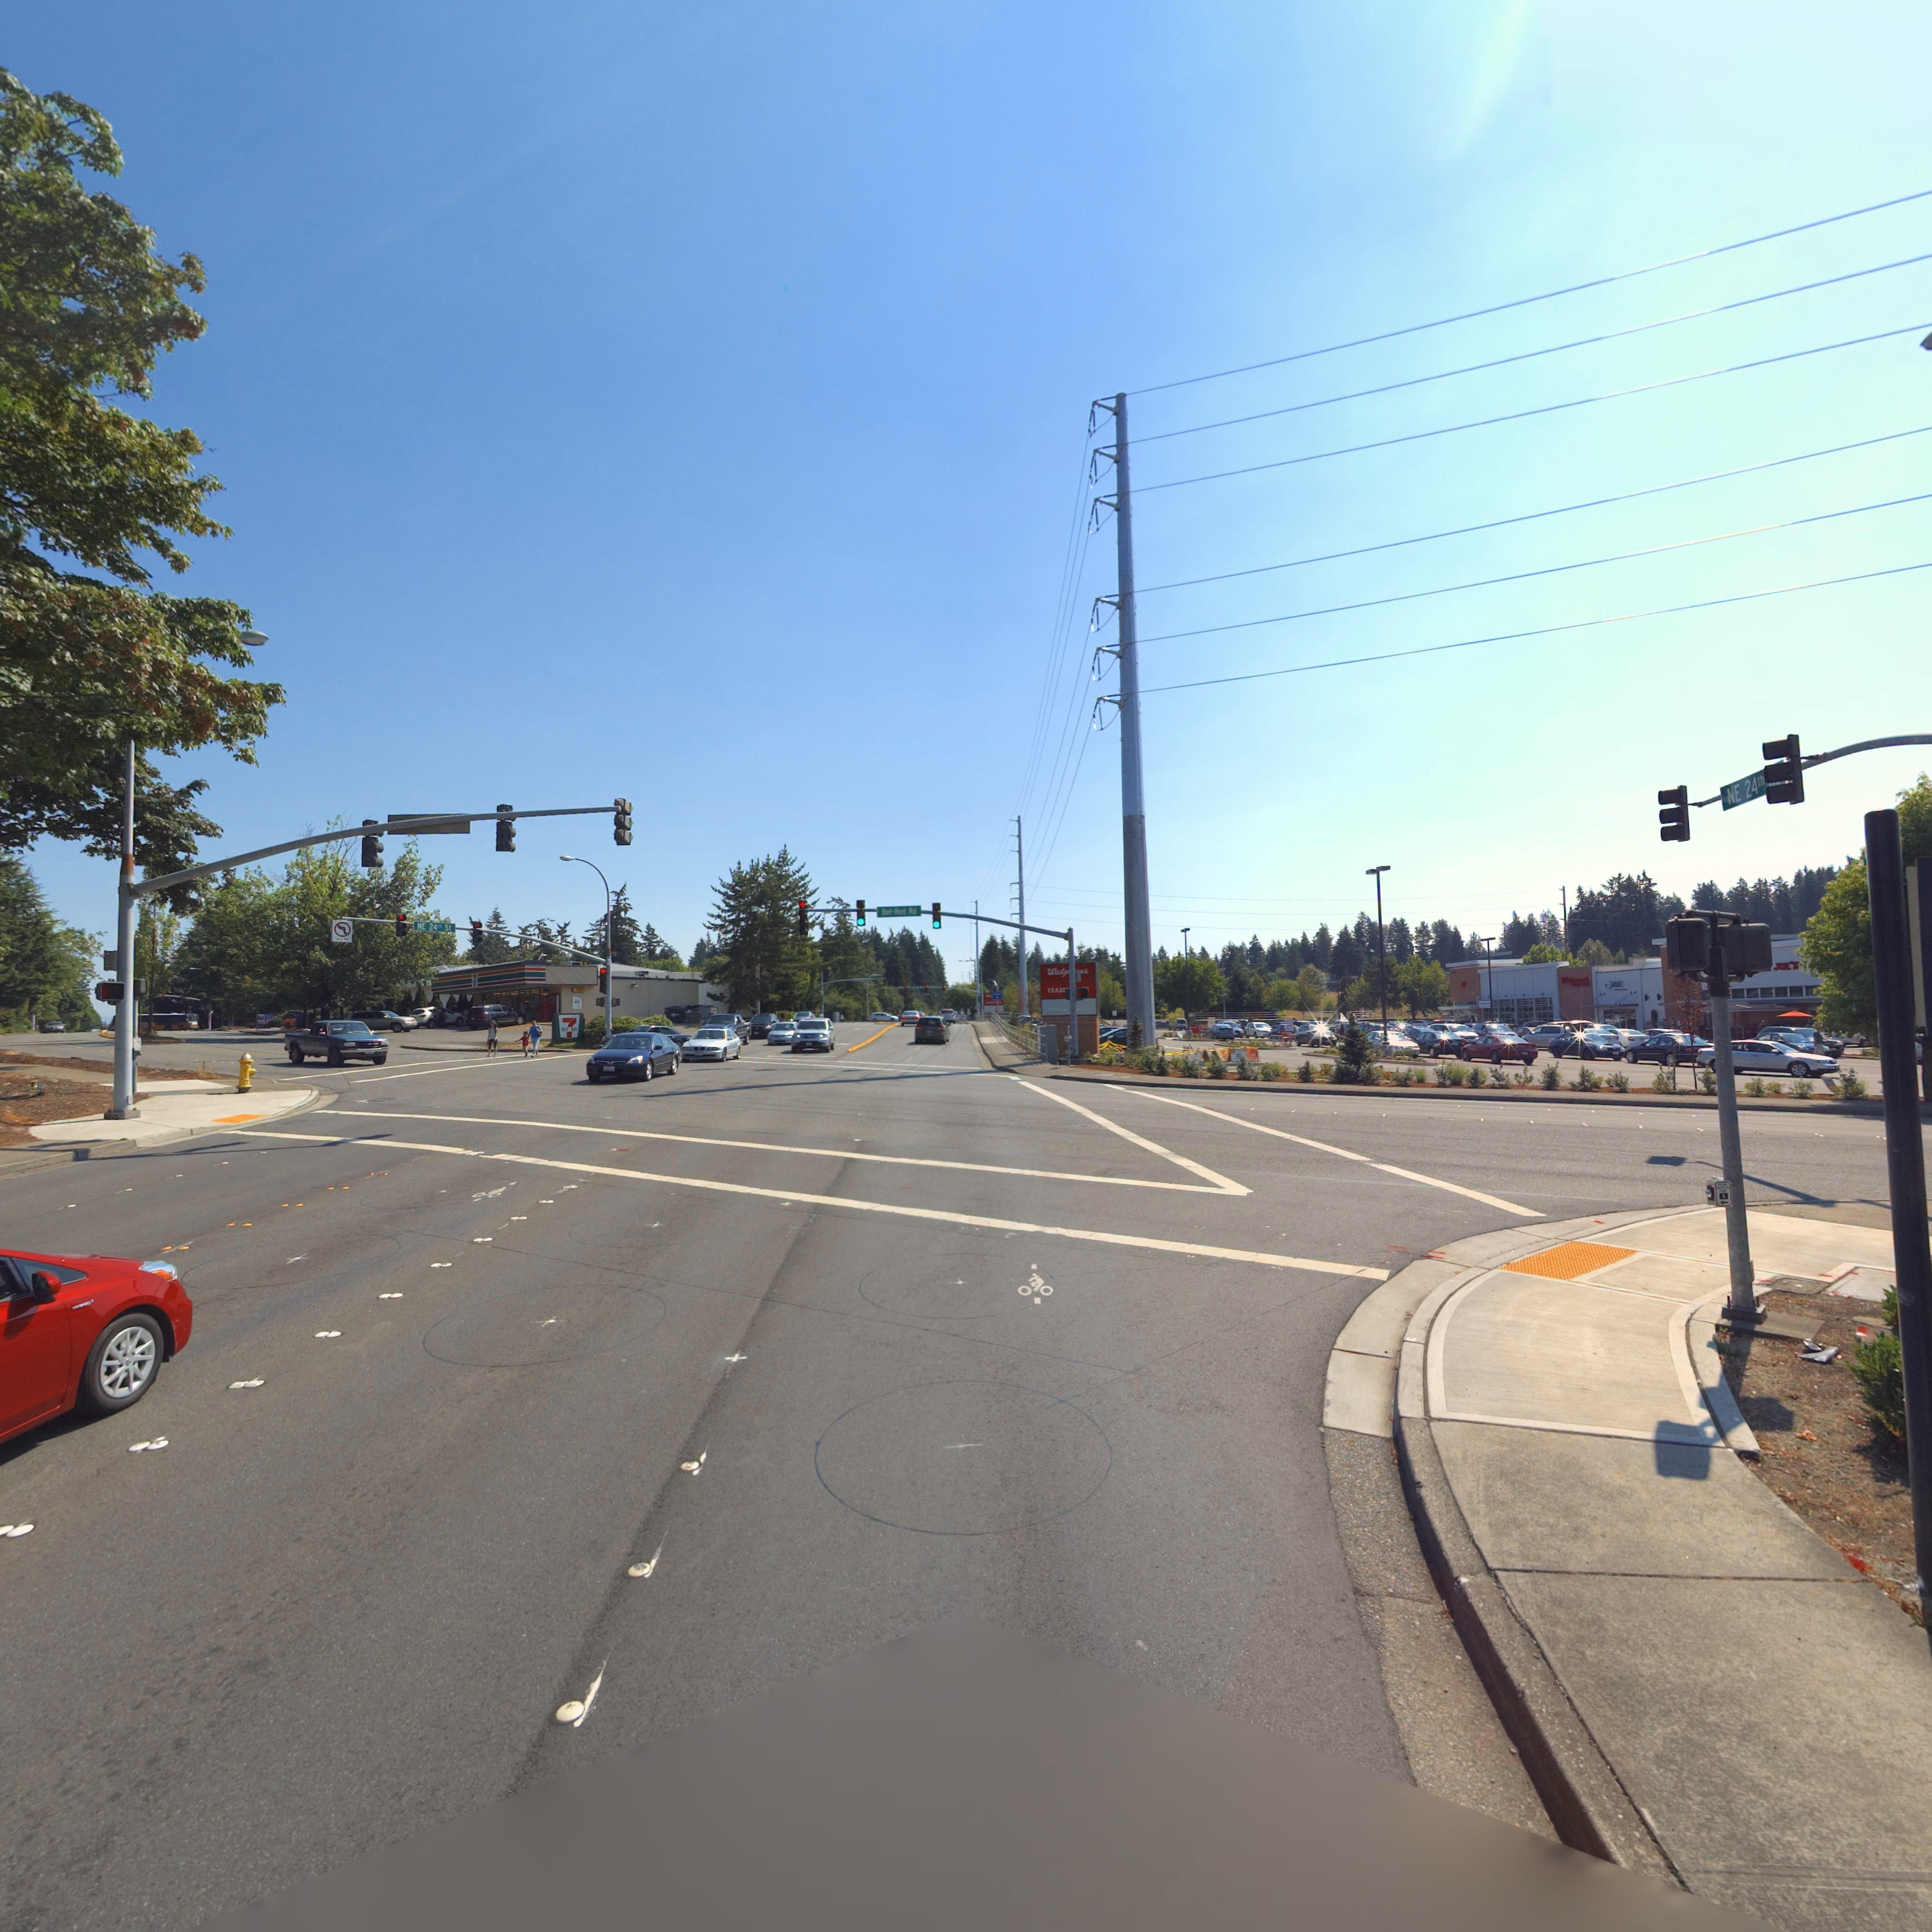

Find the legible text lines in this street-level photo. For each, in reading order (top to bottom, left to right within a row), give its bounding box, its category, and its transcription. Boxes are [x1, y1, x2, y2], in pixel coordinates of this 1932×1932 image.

[1725, 772, 1766, 806] StreetName: NE 24th
[417, 922, 452, 931] StreetName: NE 24 St
[1046, 967, 1089, 976] BusinessName: Walg****s
[1046, 987, 1066, 994] BusinessName: TRAD*